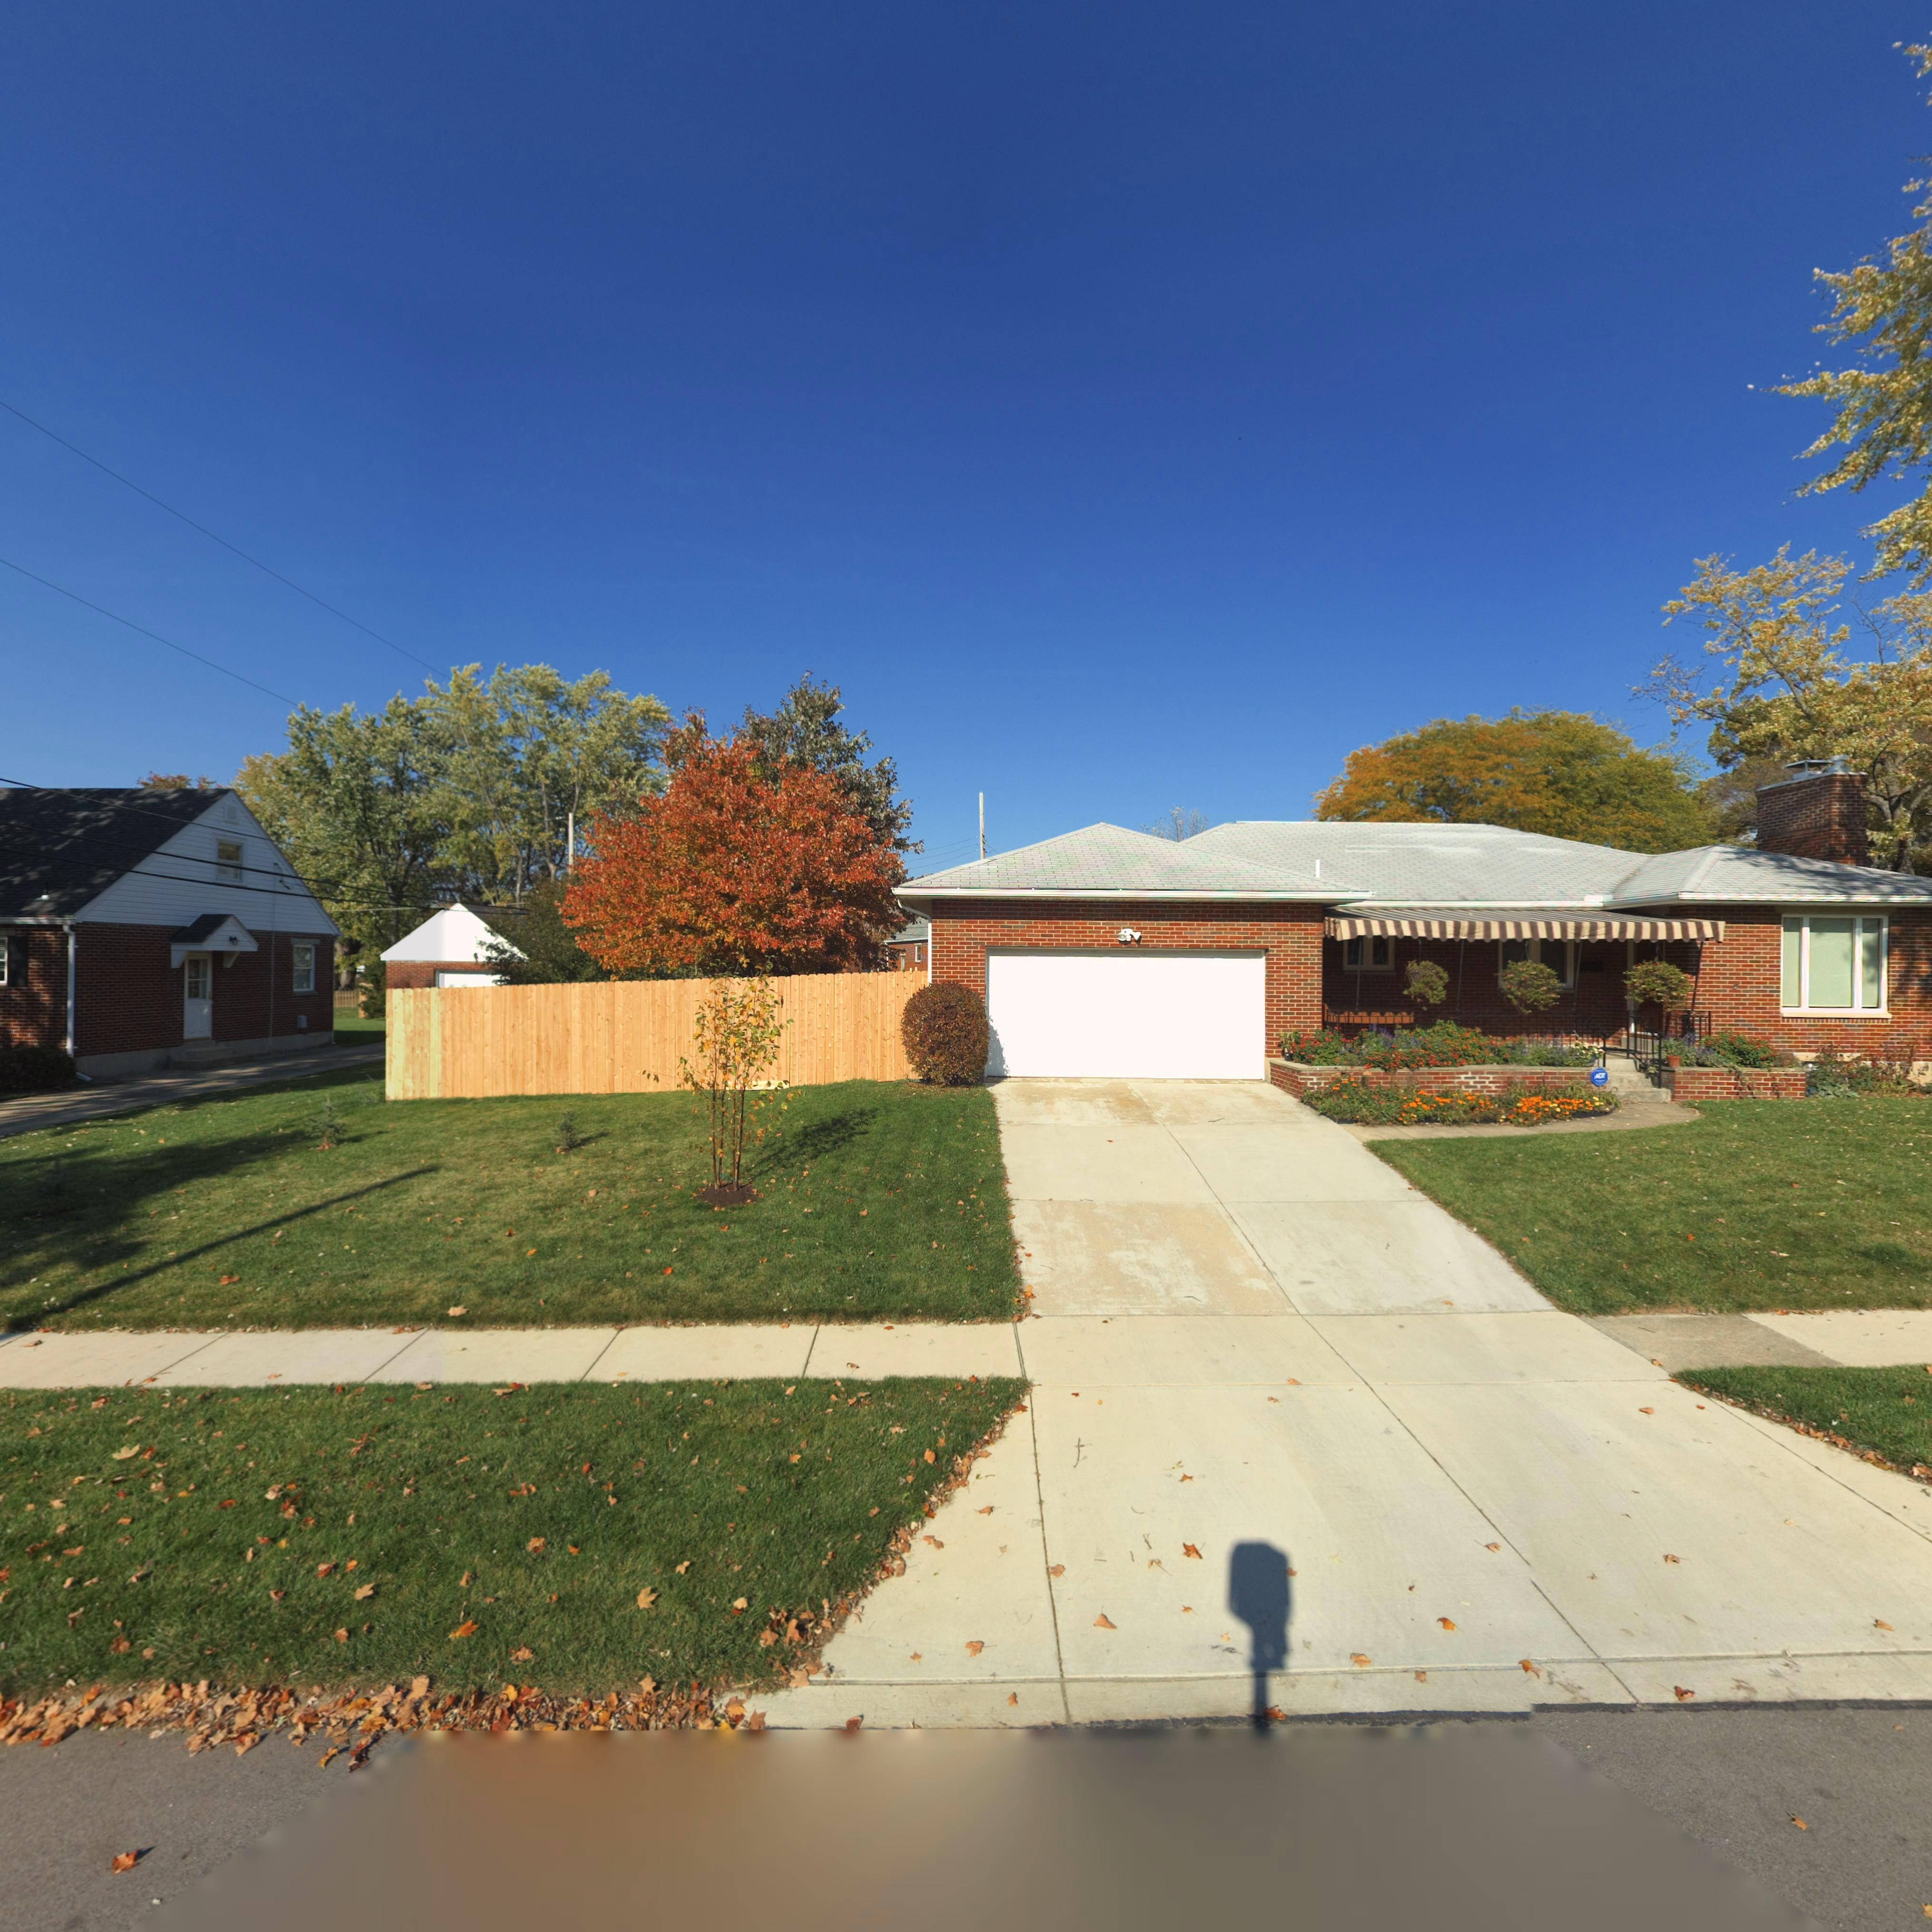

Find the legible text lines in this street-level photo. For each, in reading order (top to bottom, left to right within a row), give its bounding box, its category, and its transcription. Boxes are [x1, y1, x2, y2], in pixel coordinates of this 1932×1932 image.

[1594, 1072, 1606, 1079] None: ADT